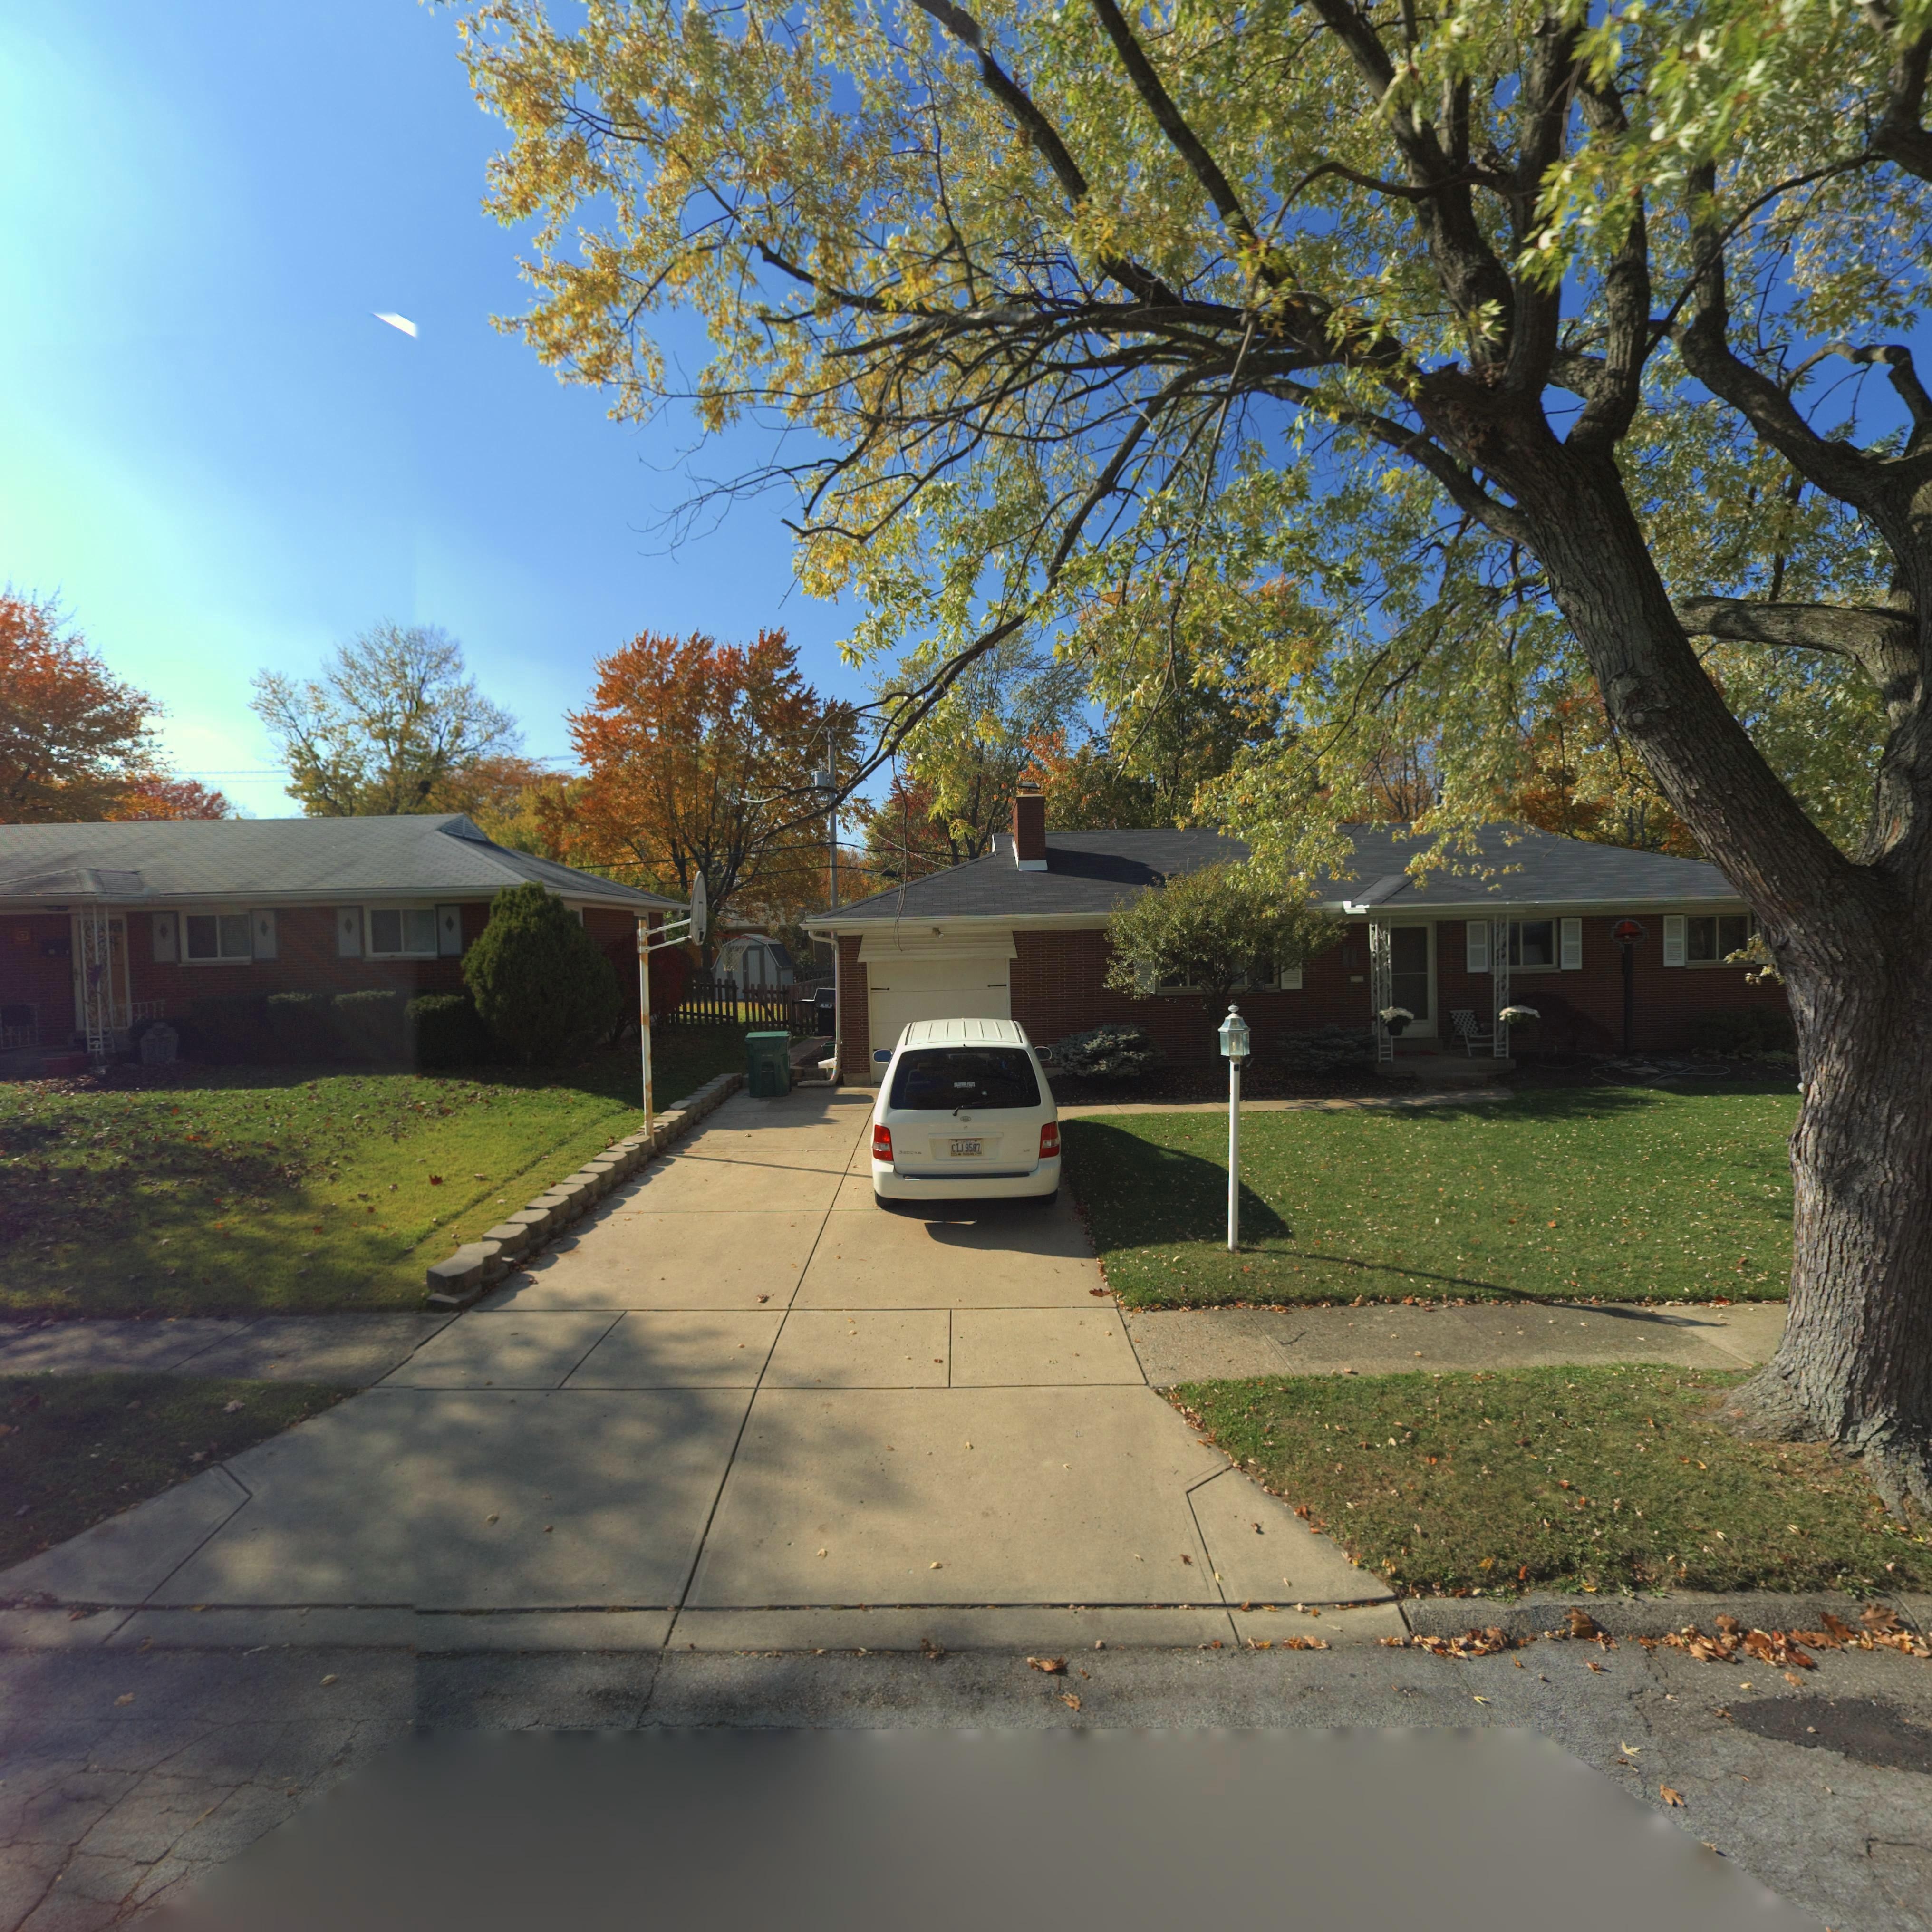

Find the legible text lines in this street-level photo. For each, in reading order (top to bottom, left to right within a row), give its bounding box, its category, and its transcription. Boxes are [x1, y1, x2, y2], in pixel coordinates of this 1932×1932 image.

[950, 1141, 982, 1154] None: CLJ 9587